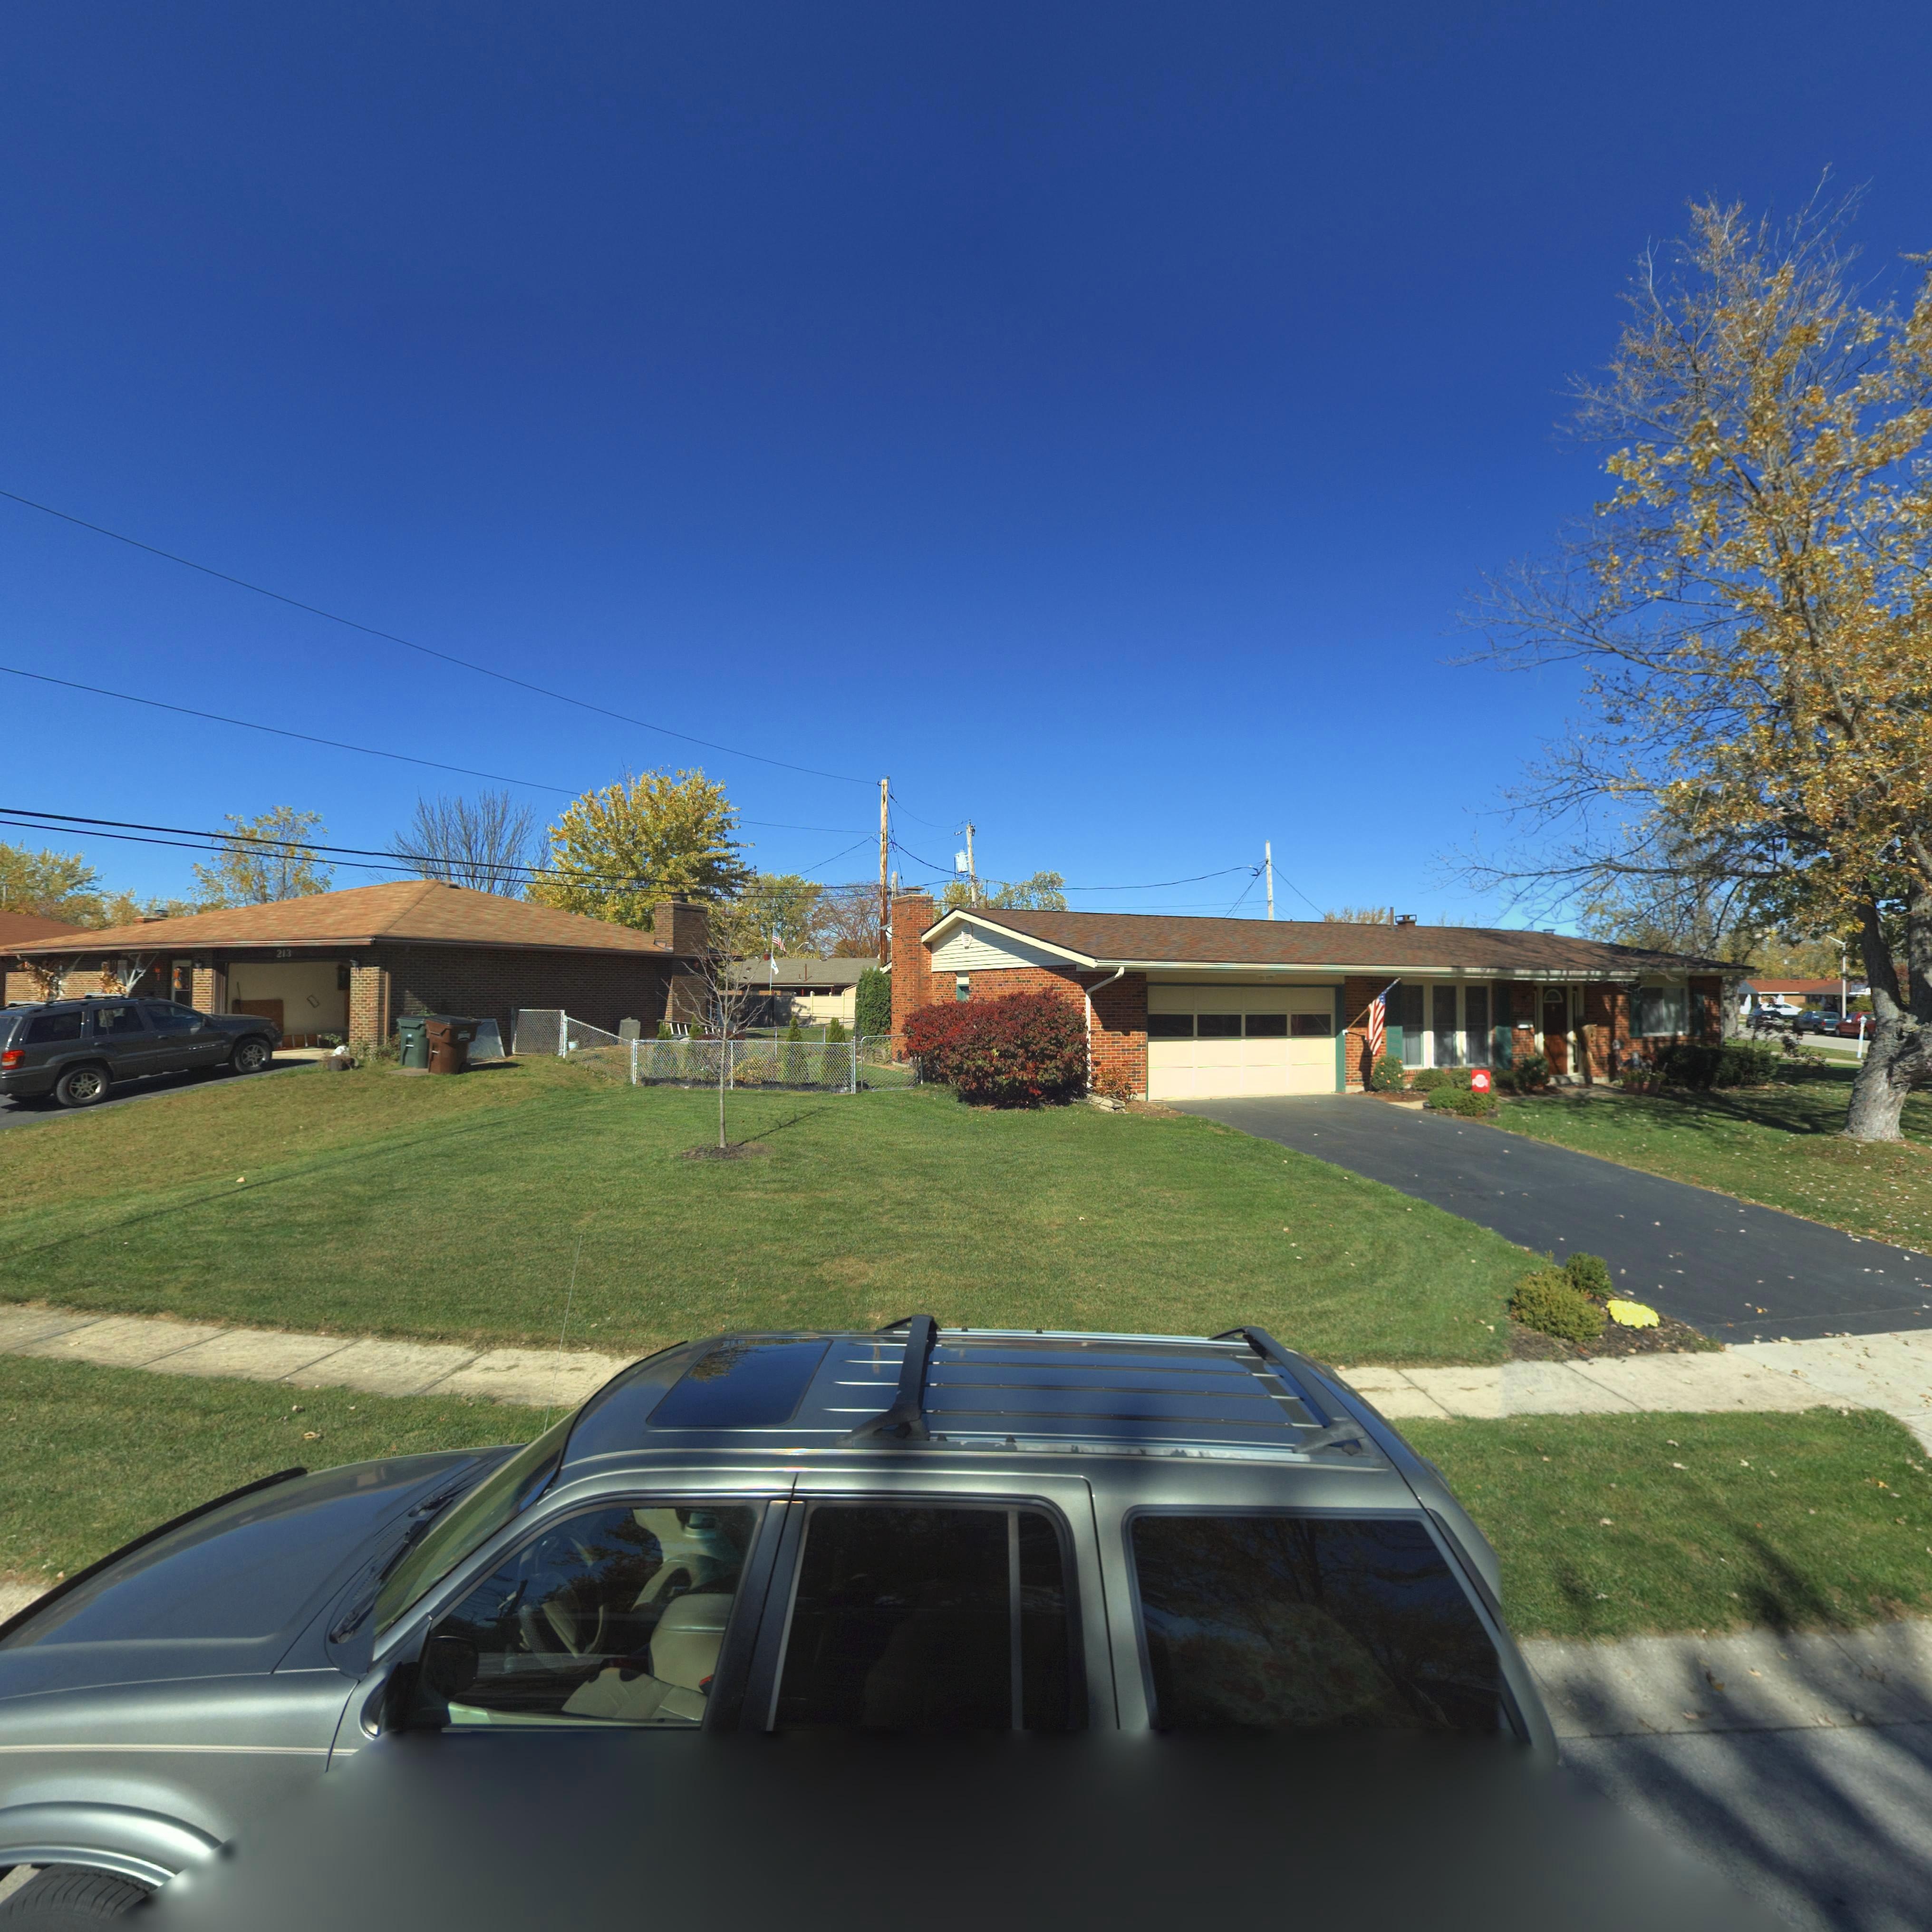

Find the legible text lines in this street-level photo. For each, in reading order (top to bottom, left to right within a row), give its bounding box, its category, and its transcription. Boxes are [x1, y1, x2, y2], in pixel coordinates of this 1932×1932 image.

[275, 948, 292, 958] StreetNumber: 213